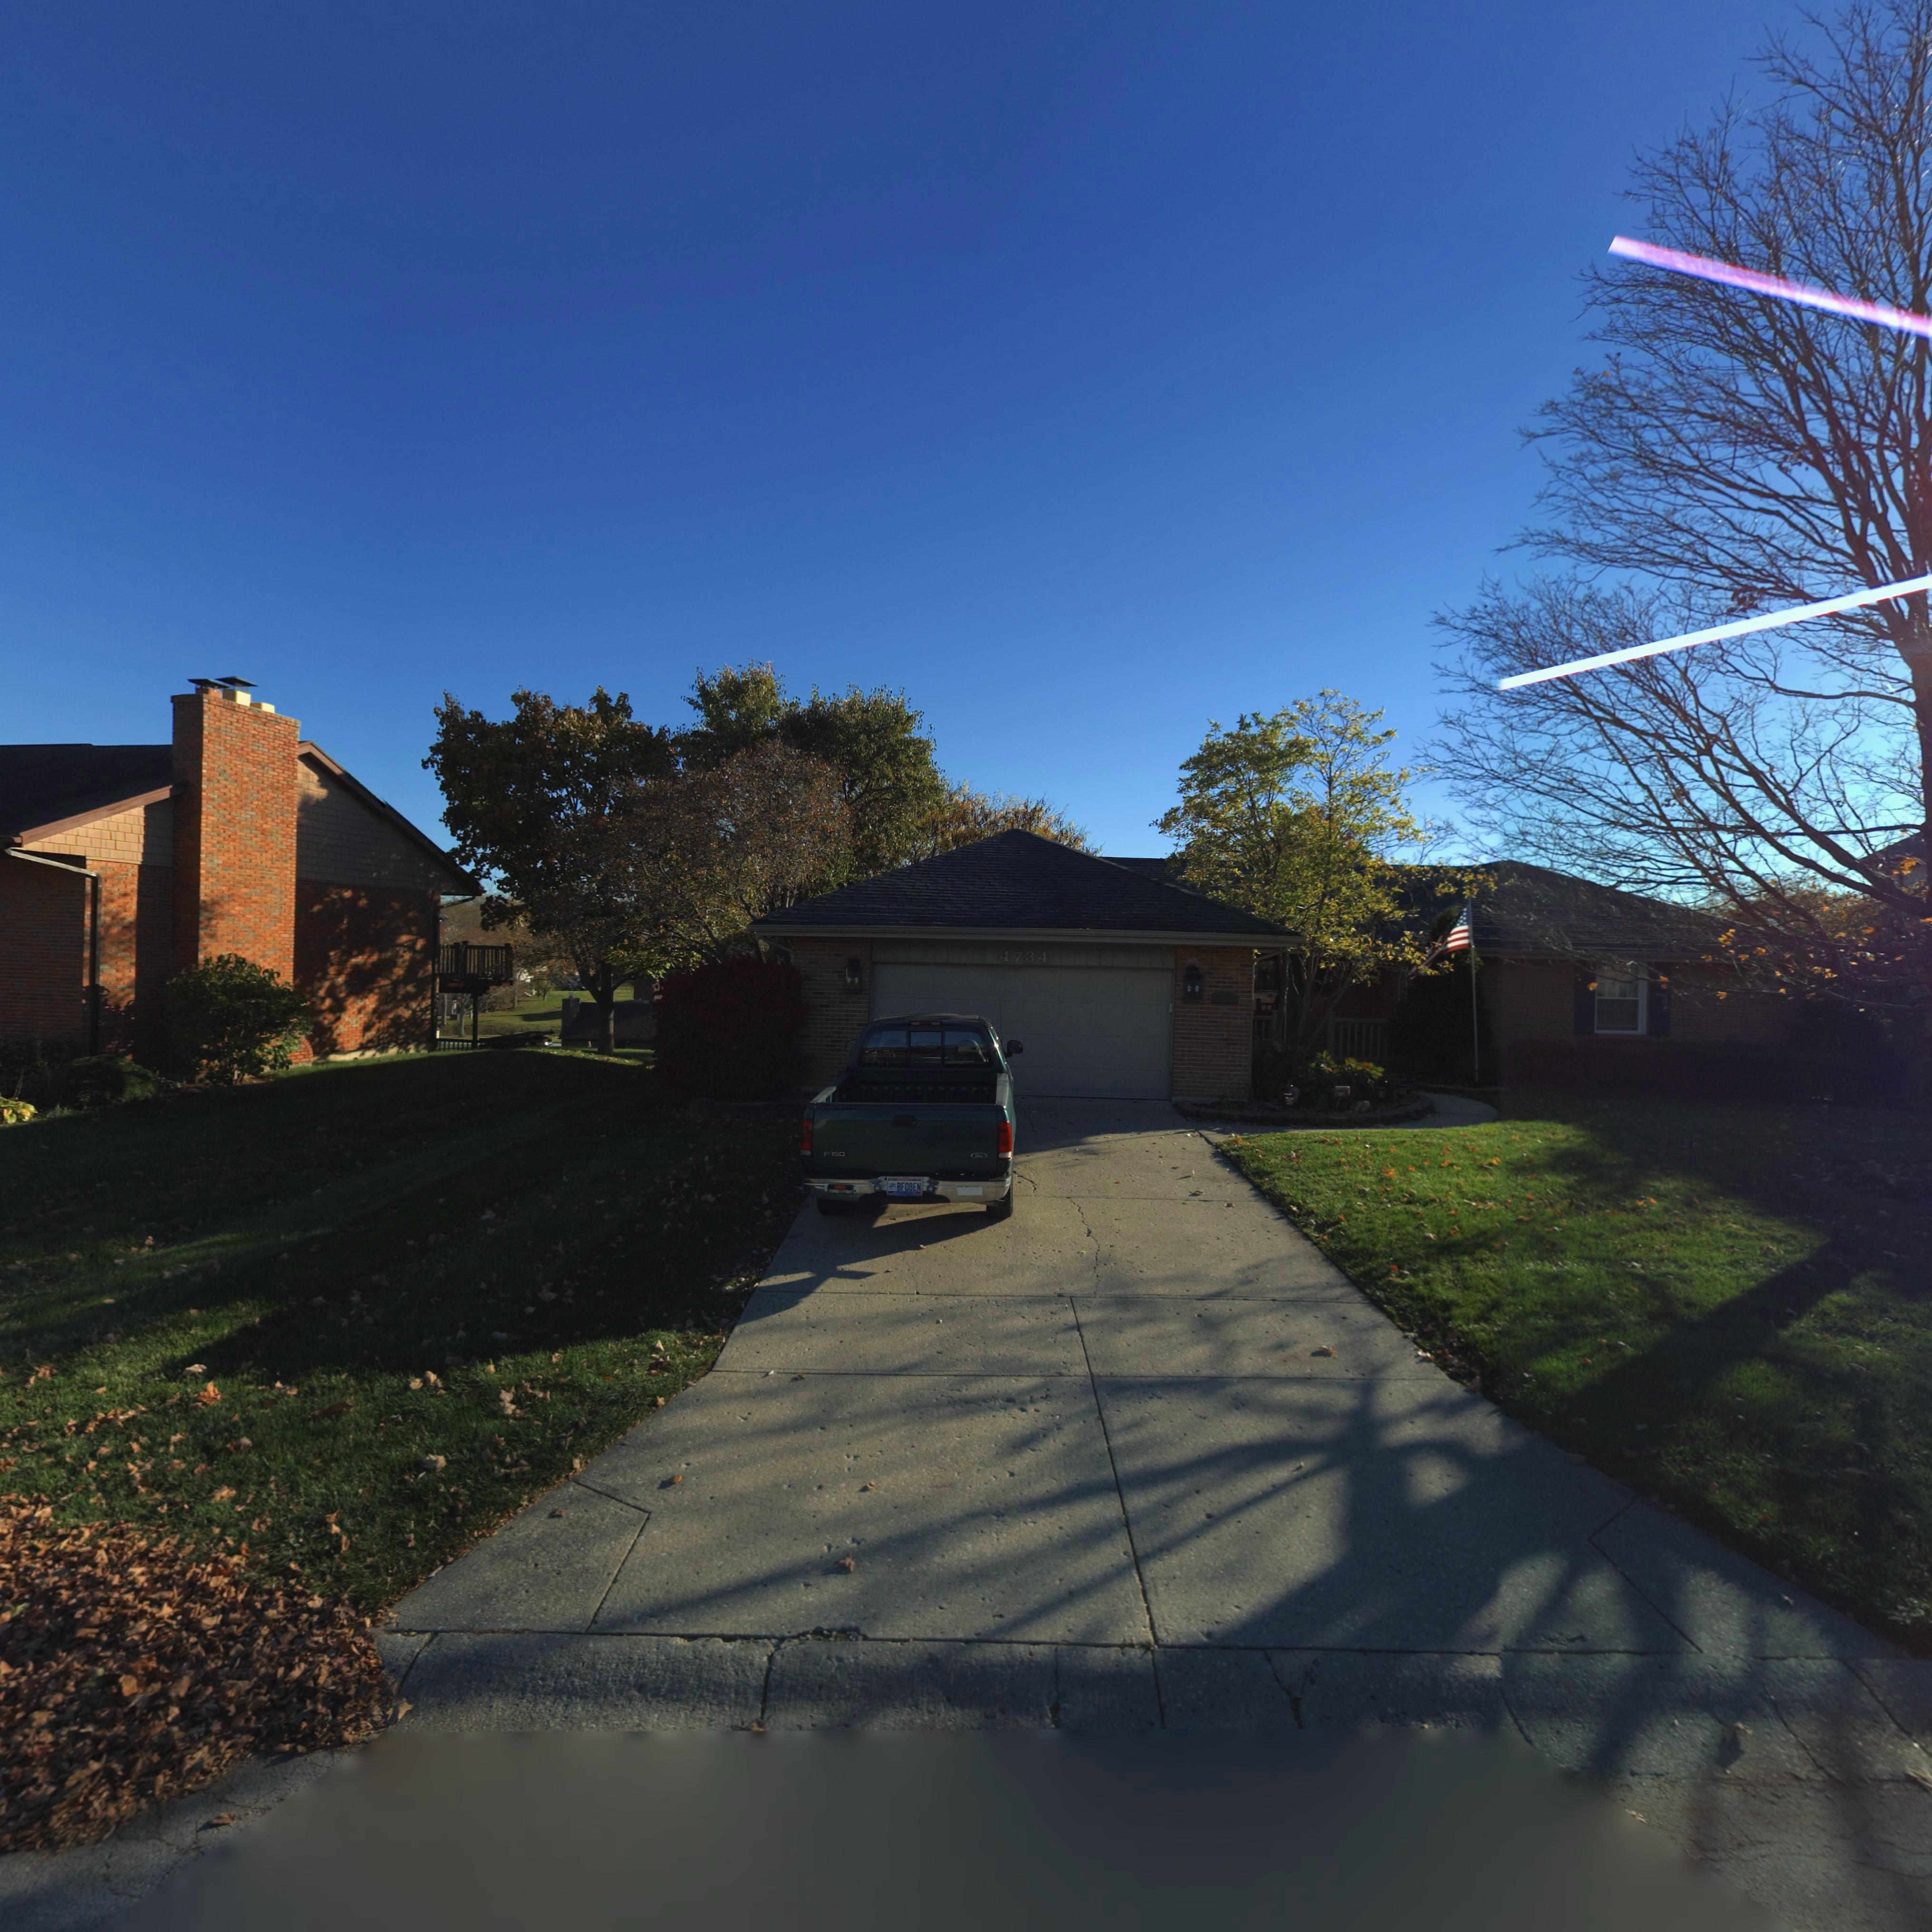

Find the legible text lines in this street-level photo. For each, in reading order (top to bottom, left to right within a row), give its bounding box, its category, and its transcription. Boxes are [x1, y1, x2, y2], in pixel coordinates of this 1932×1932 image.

[998, 949, 1050, 964] StreetNumber: 4734